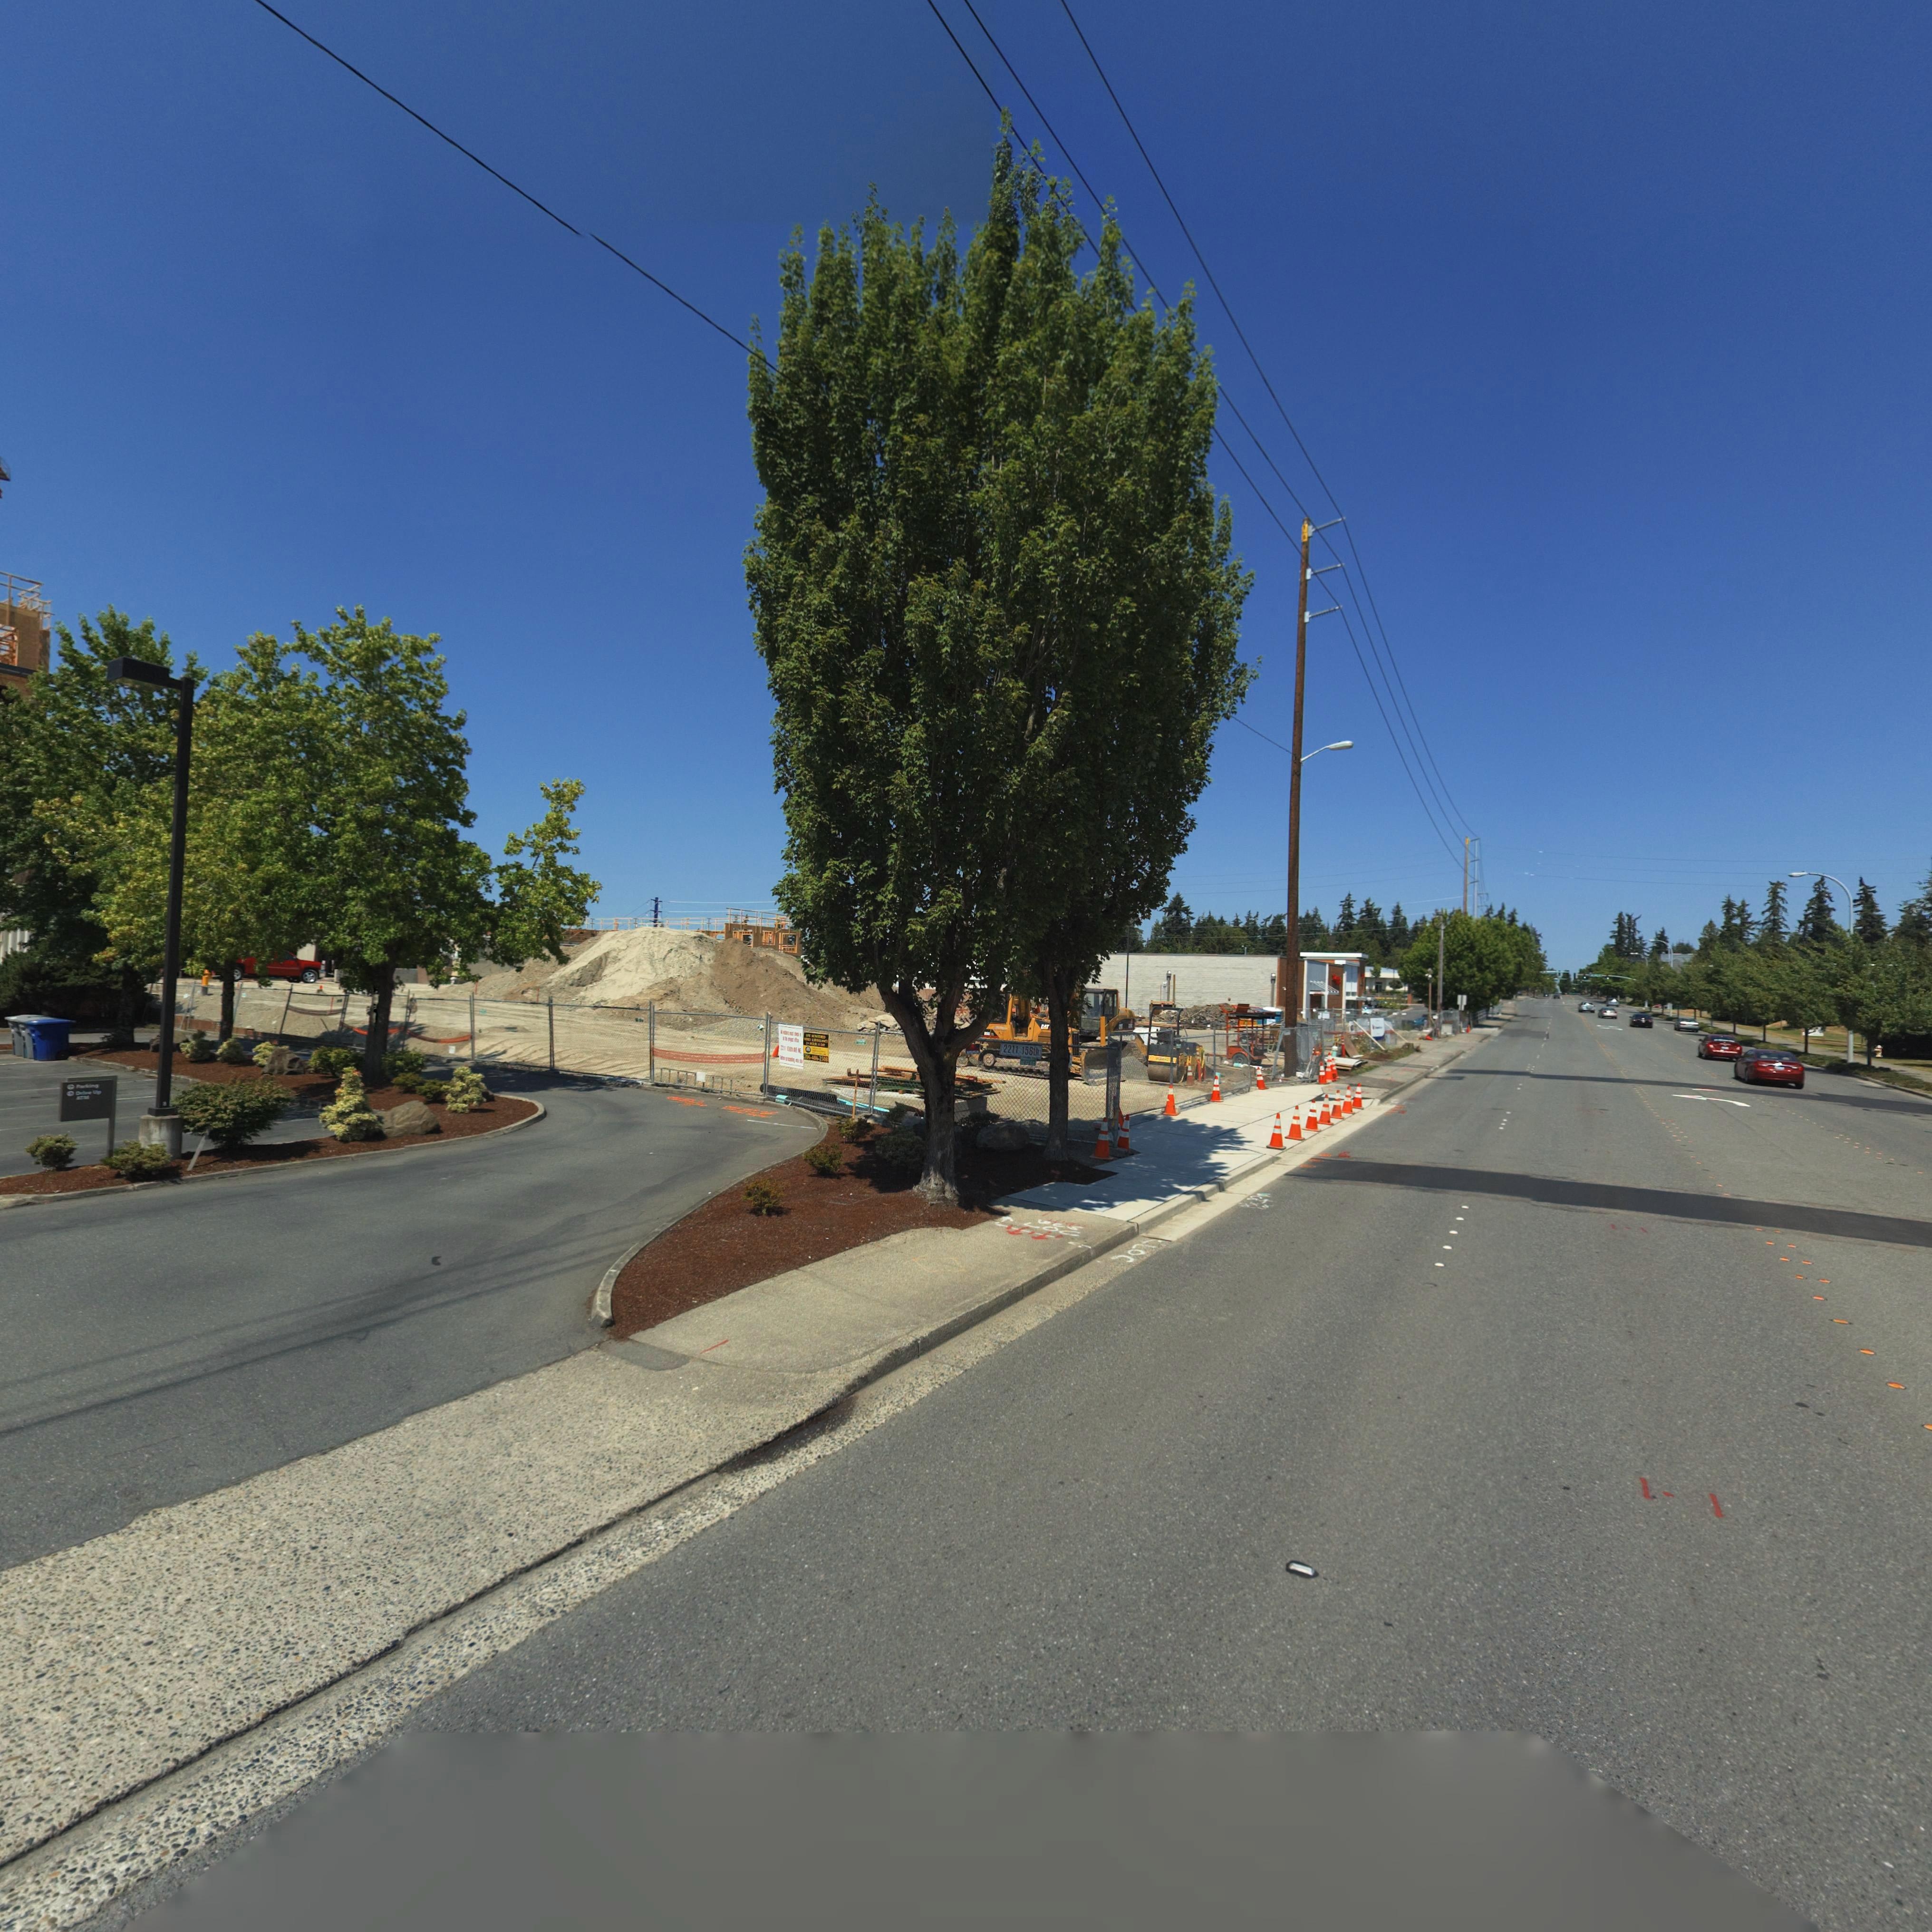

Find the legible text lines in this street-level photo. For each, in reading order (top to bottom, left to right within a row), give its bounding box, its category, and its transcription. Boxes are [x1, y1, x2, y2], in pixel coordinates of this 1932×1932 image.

[1003, 1043, 1018, 1054] StreetNumber: 2211
[1021, 1045, 1039, 1057] StreetName: 156th